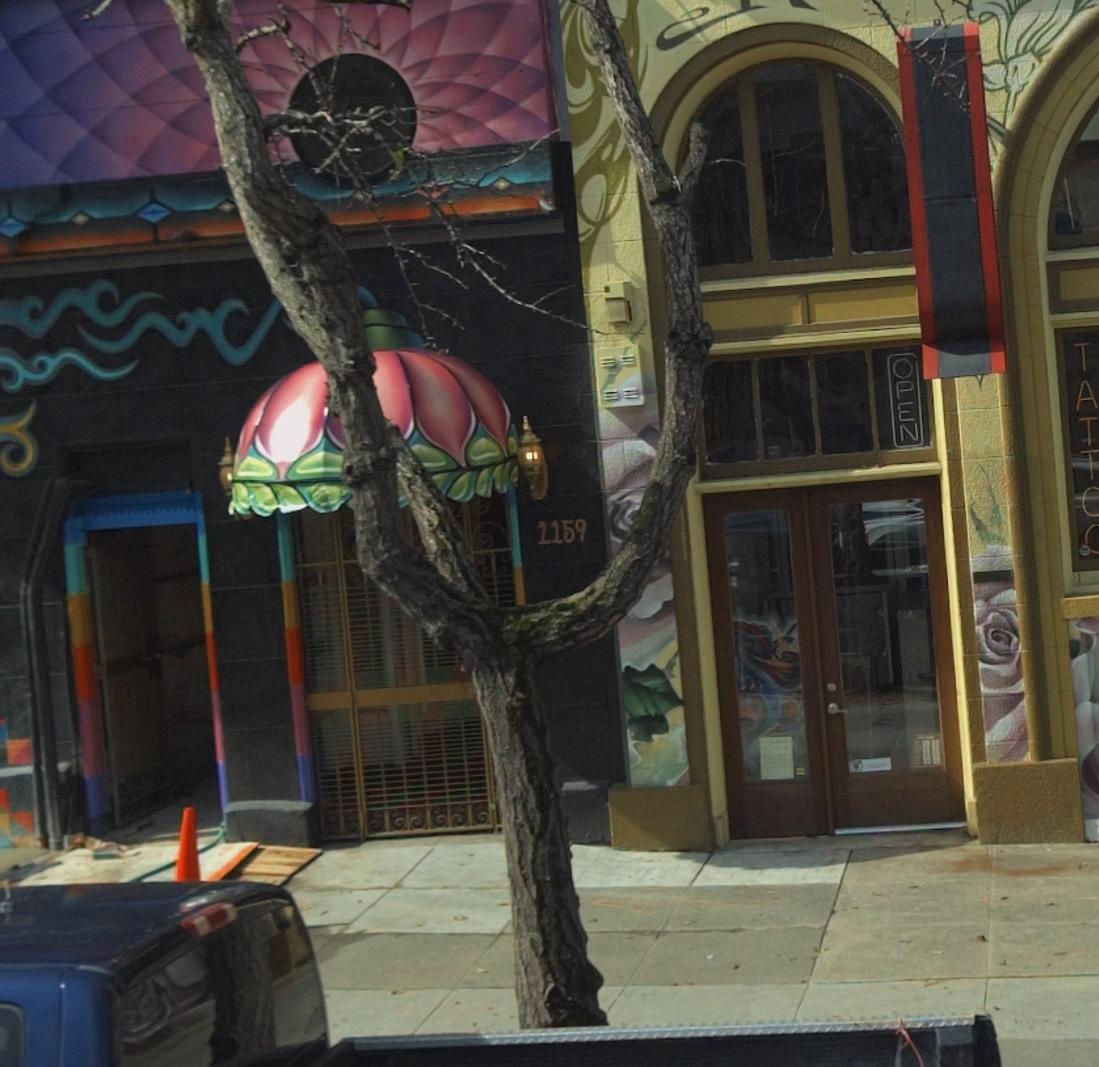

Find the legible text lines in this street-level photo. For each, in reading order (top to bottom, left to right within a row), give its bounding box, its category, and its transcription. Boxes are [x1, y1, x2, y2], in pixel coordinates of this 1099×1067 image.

[890, 353, 921, 444] None: OPEN
[1071, 339, 1099, 483] None: TATT
[535, 515, 588, 547] StreetNumber: 1159